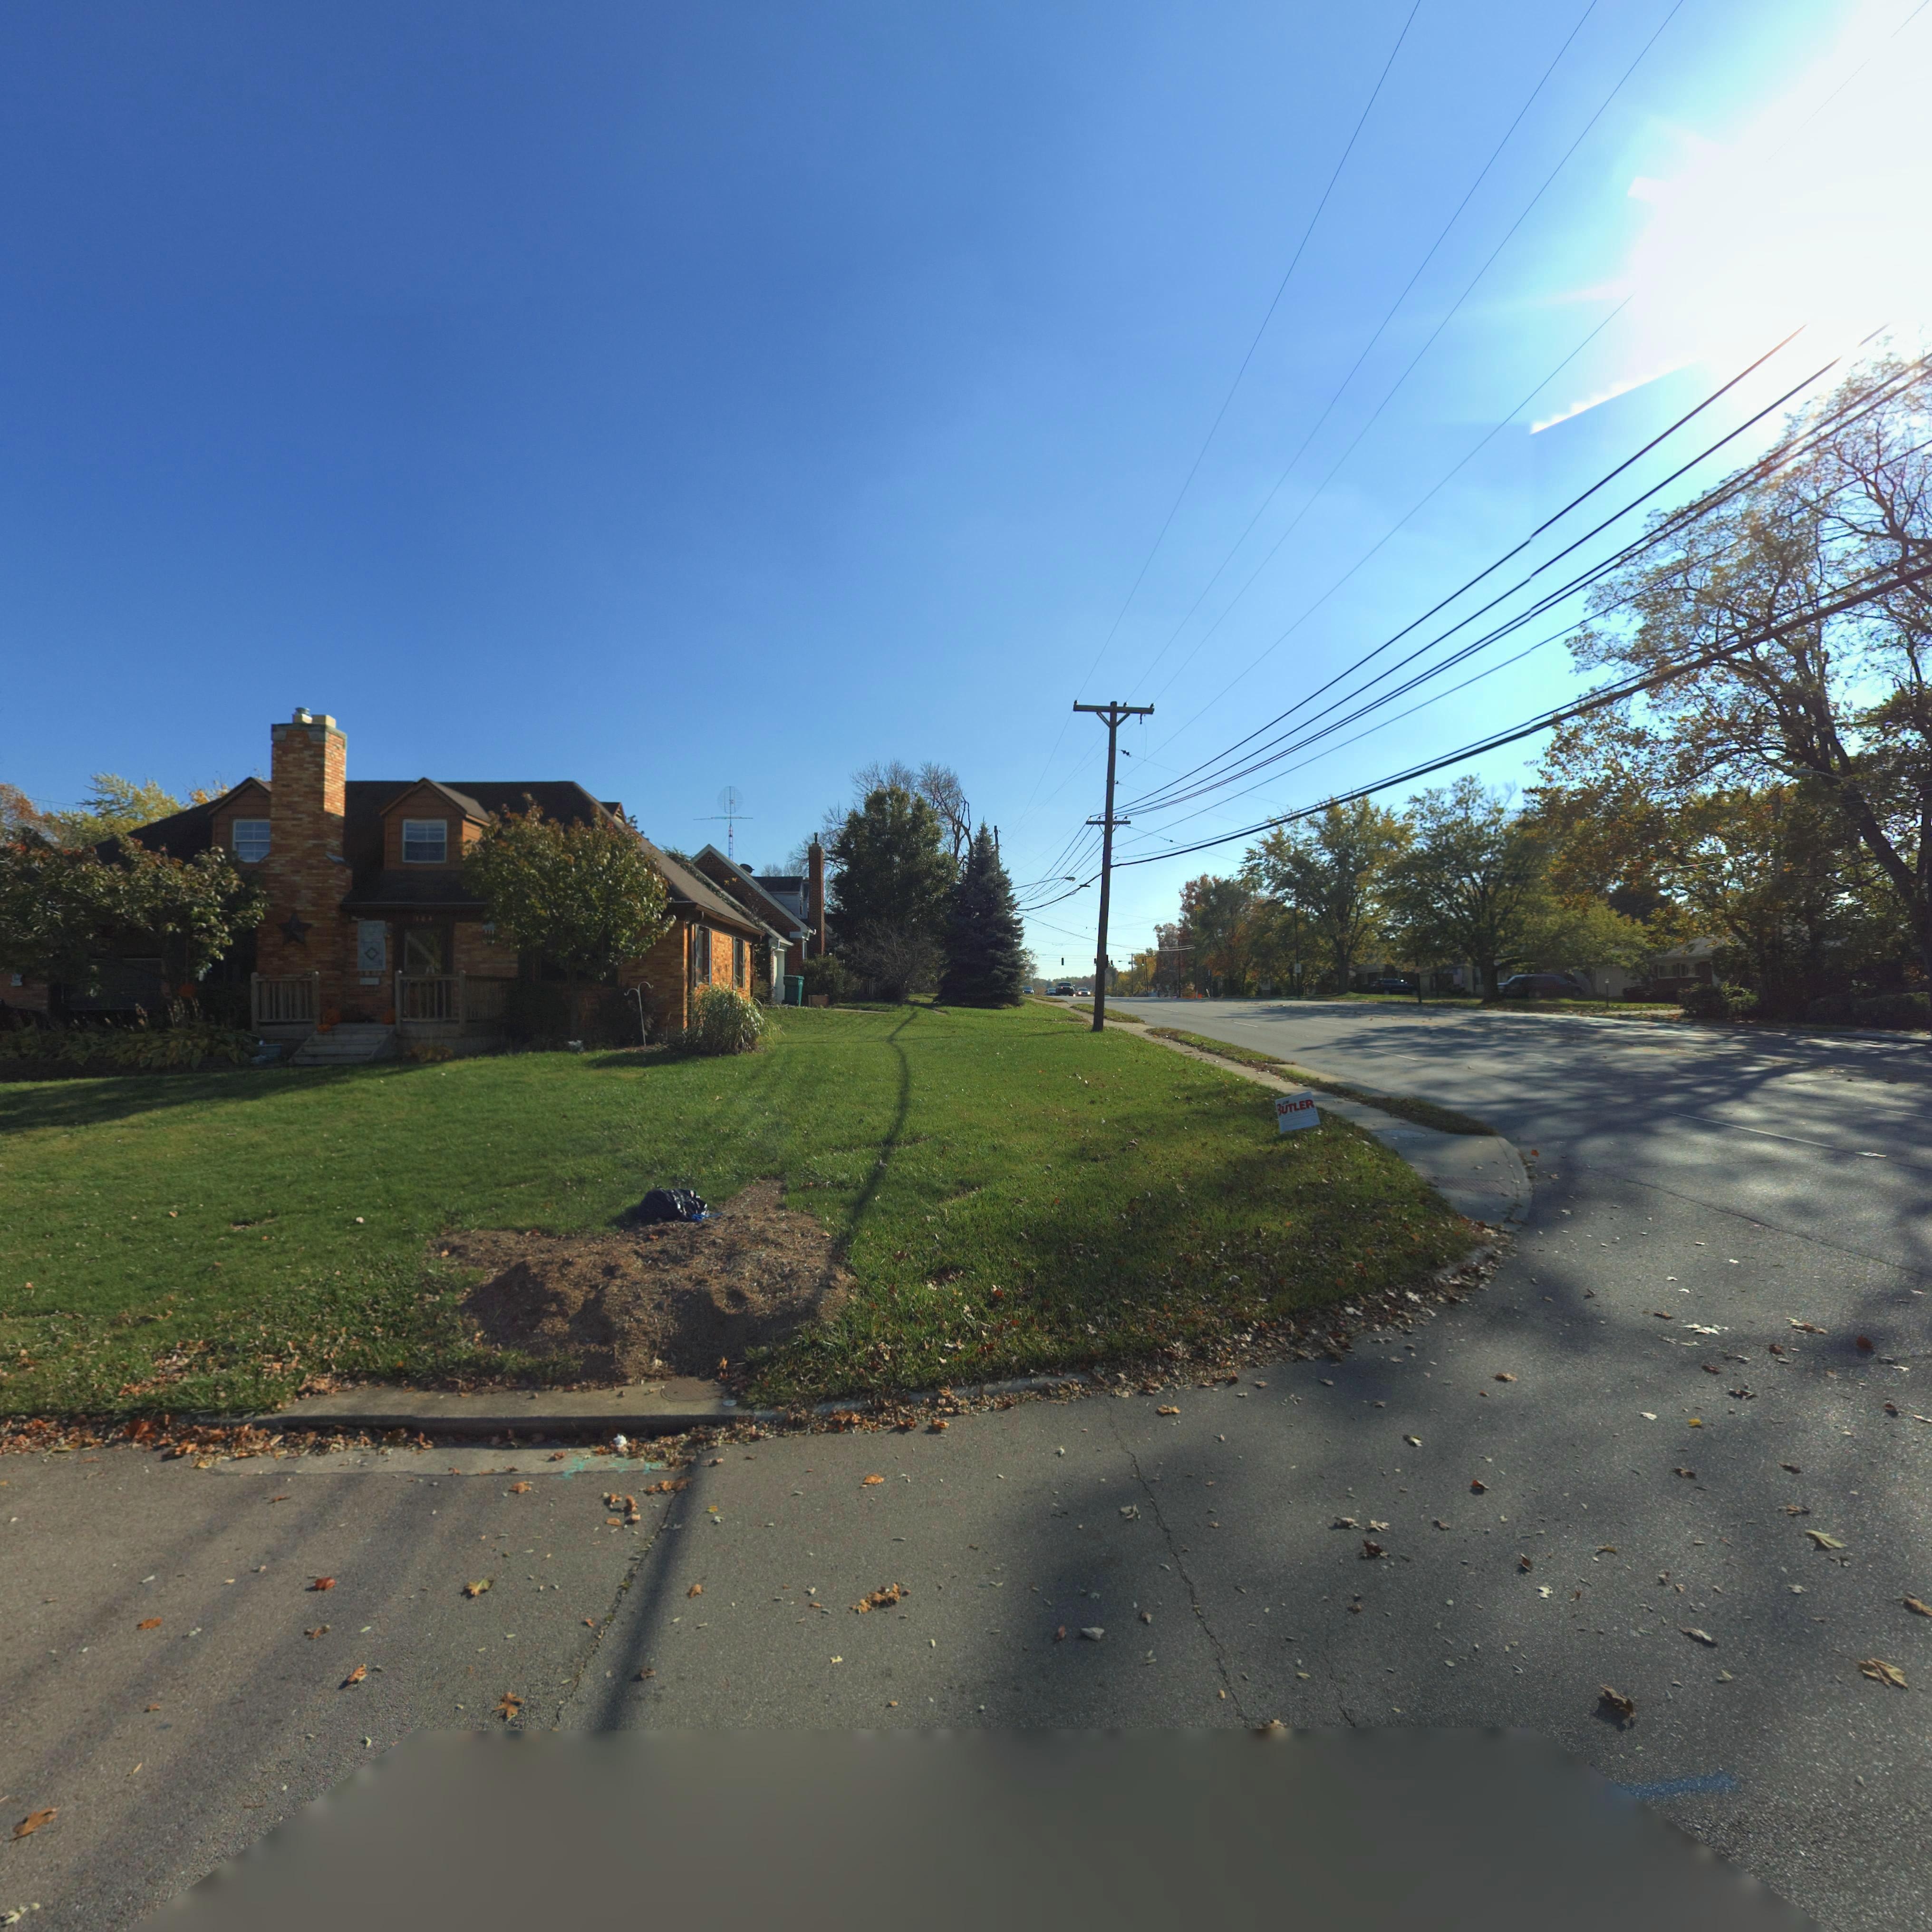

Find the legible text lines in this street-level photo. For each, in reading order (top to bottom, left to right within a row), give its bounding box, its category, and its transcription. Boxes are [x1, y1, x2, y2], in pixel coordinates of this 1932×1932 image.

[415, 915, 433, 924] StreetNumber: 104